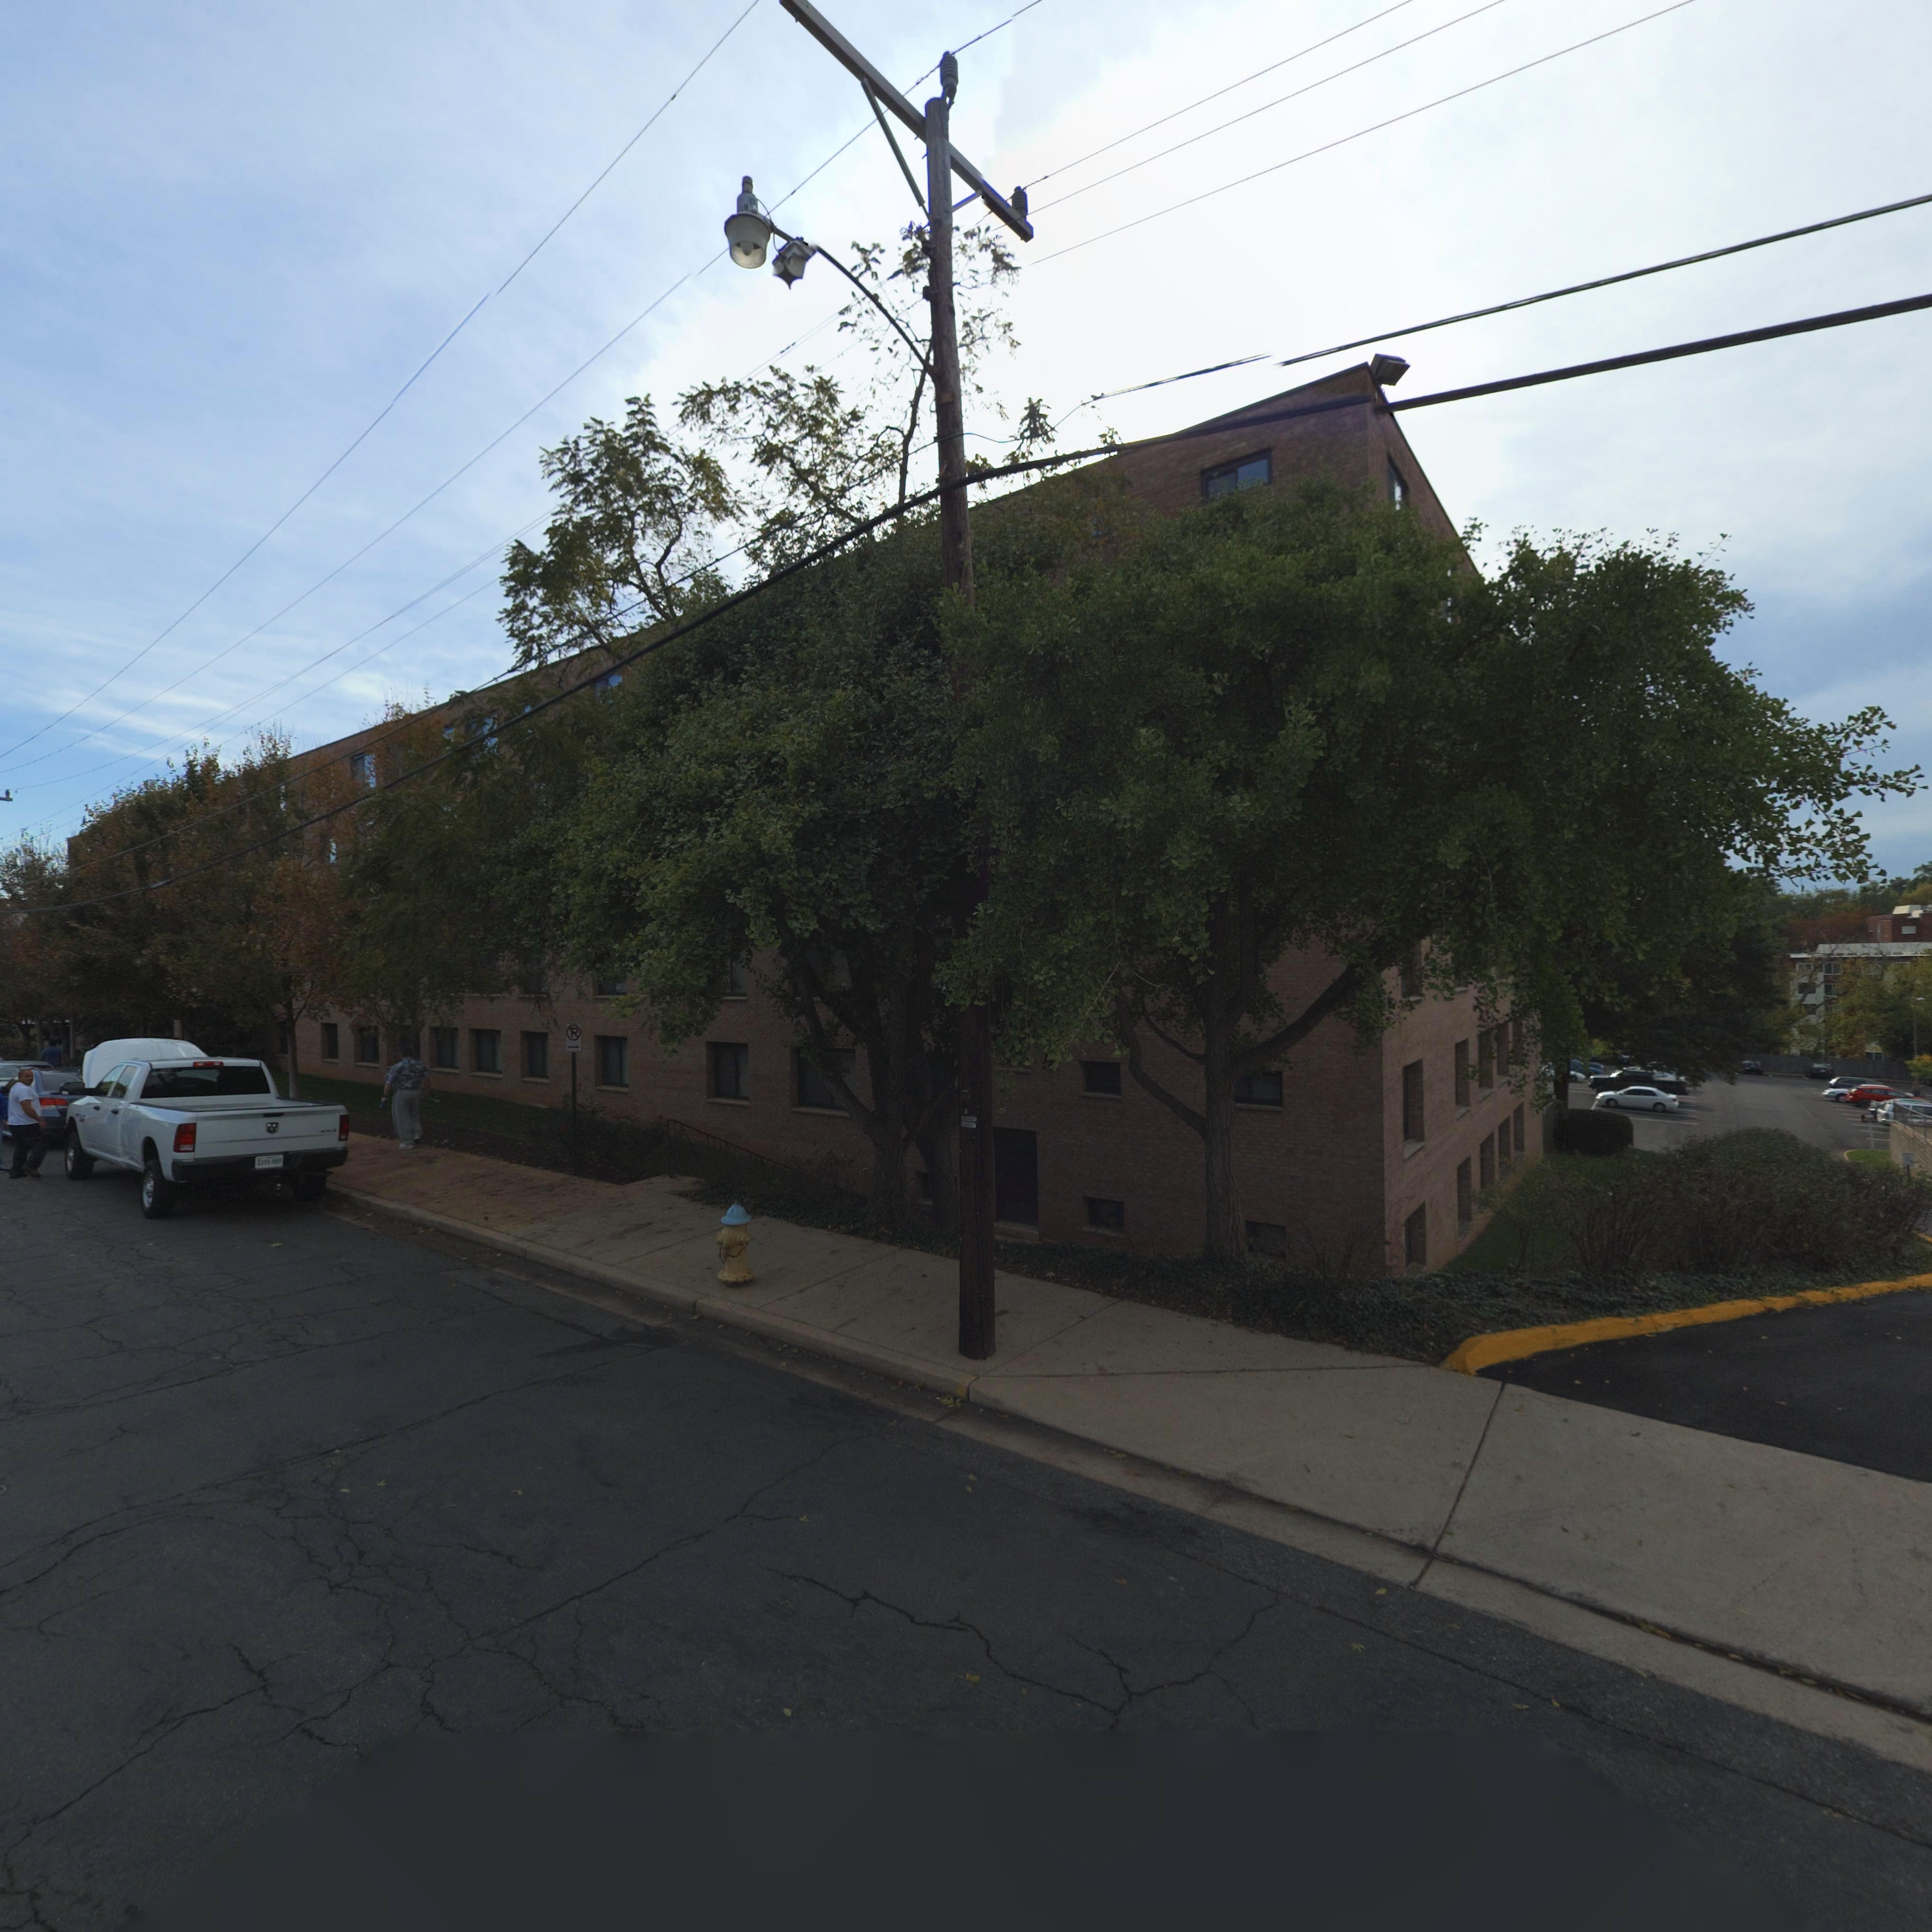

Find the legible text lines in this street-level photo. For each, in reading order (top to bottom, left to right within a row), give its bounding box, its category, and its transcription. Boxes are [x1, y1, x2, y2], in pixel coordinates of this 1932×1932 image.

[319, 1128, 337, 1133] None: 4x4
[260, 1158, 282, 1166] None: 491-80**